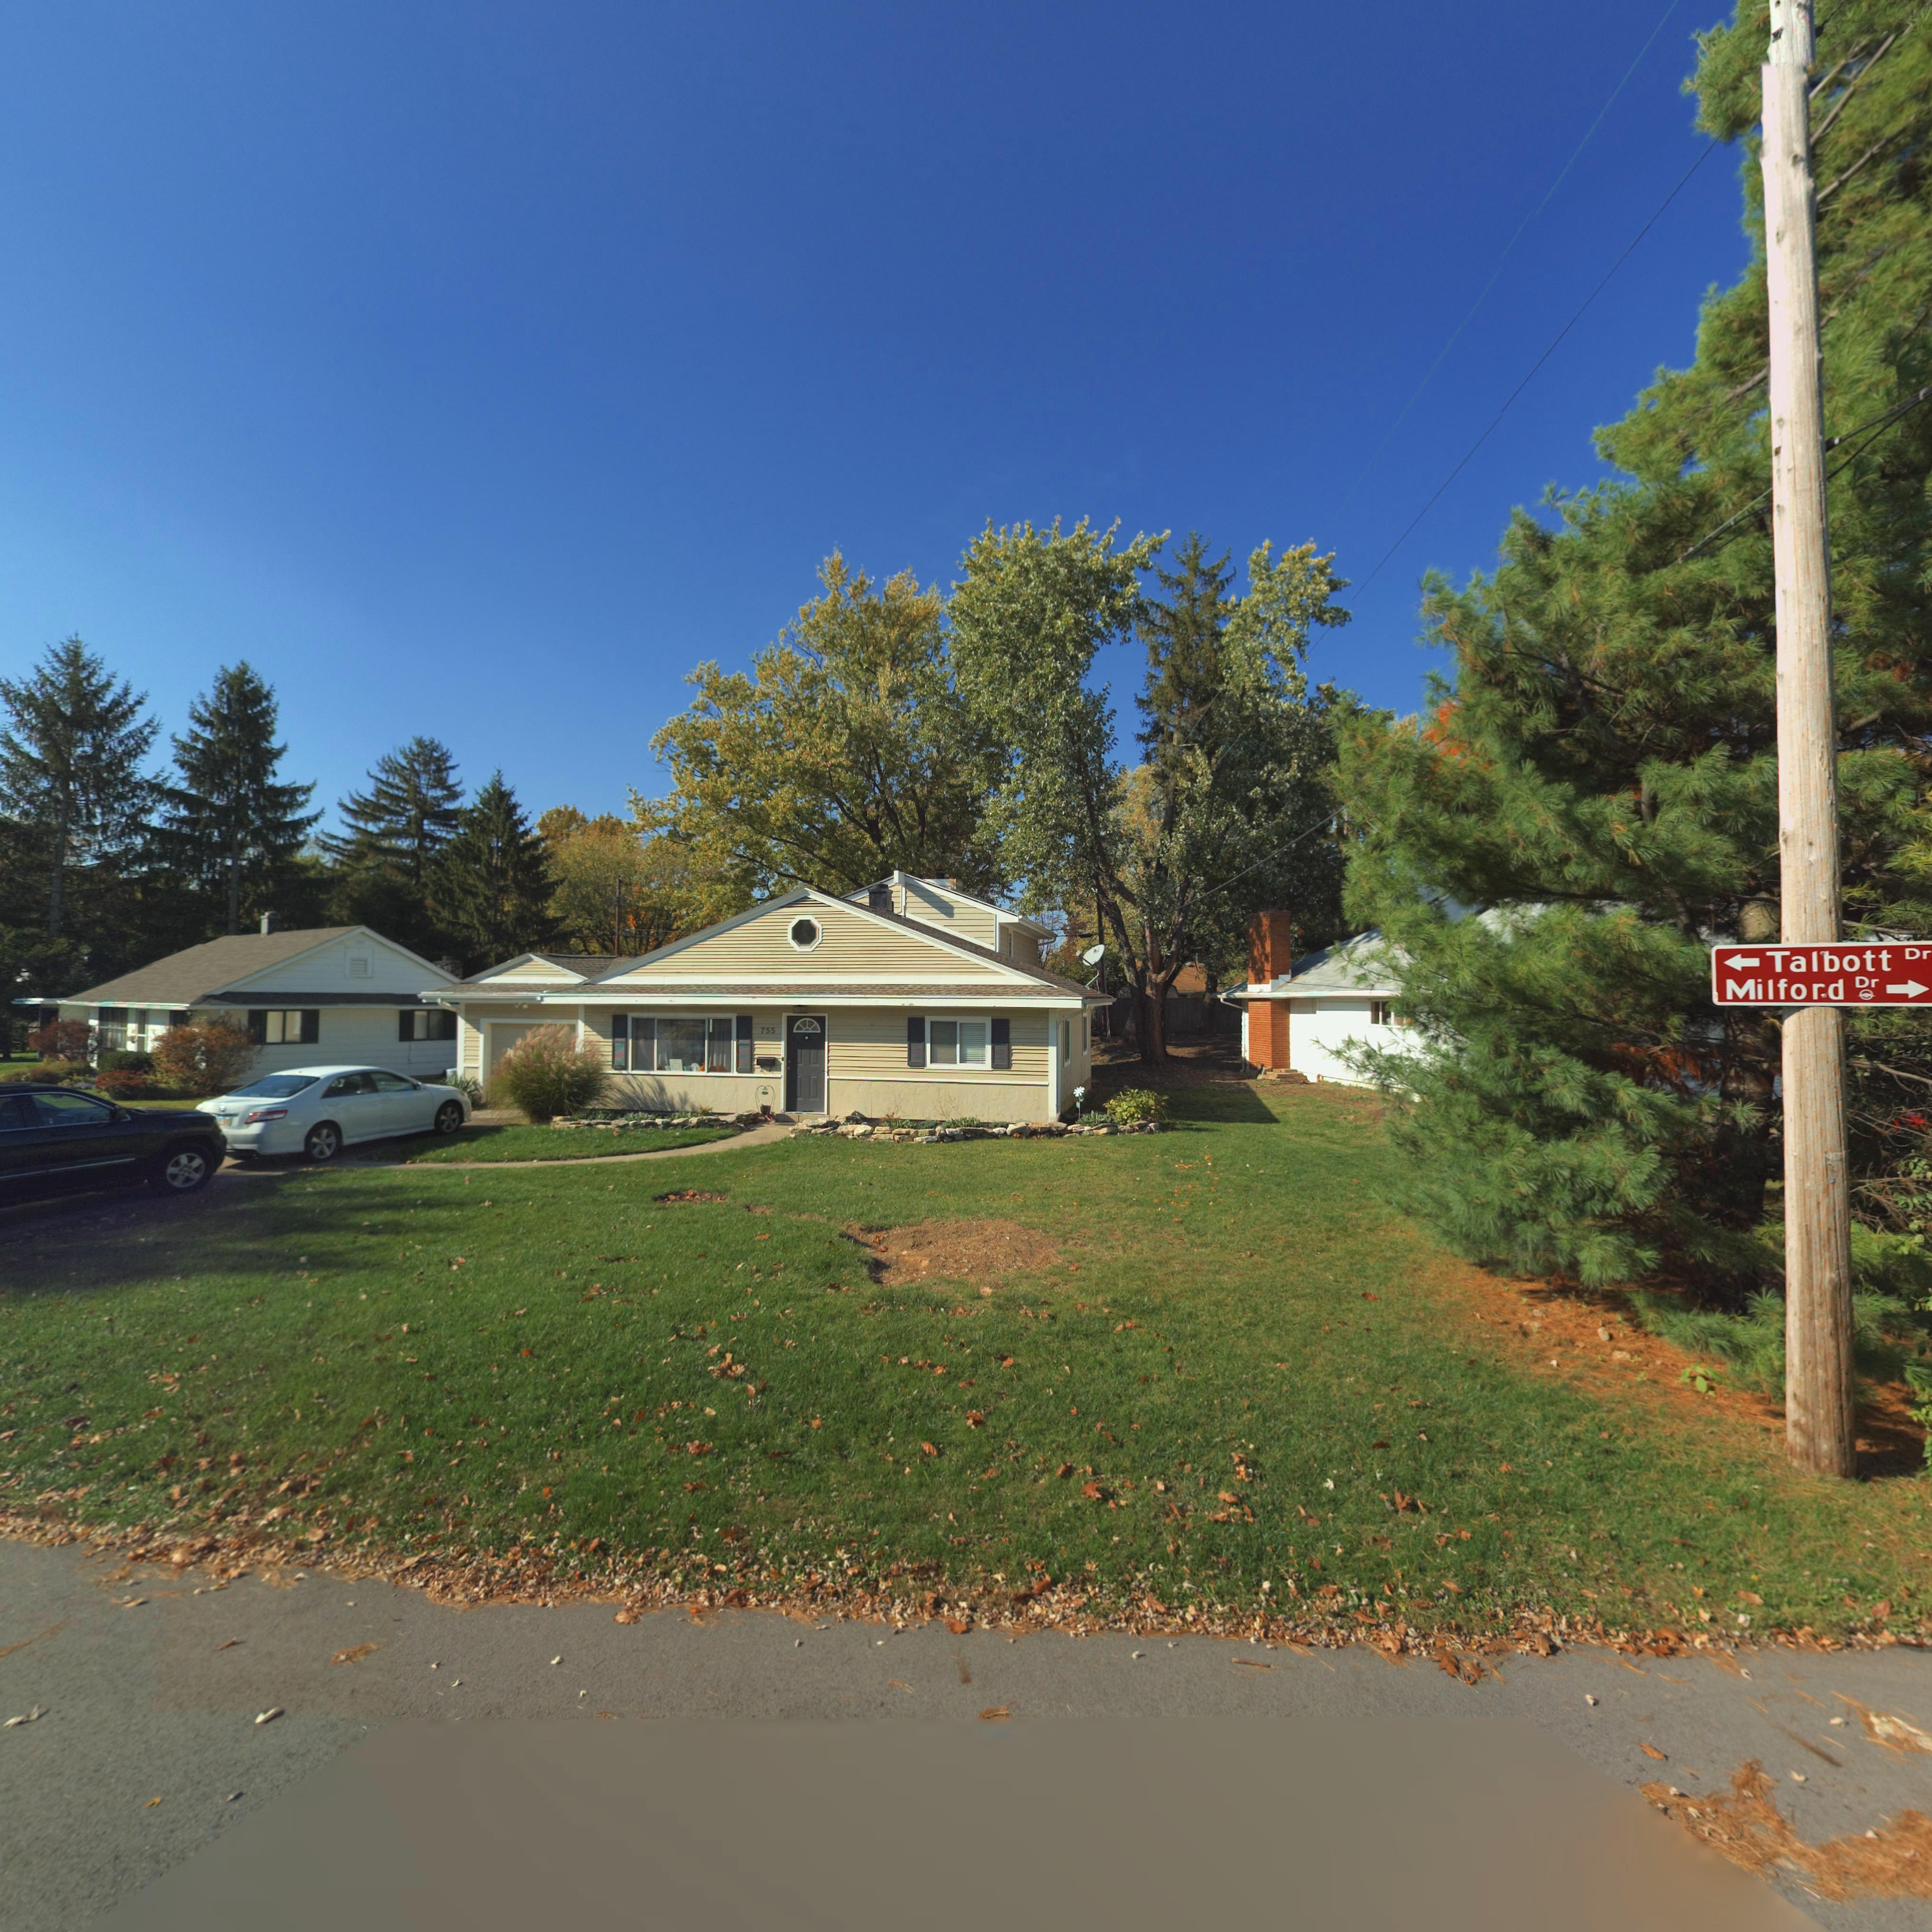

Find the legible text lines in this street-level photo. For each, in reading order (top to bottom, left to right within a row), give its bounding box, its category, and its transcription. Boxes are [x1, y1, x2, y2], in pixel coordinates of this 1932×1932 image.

[1721, 947, 1932, 974] StreetName: <- Talbott Dr
[1725, 975, 1931, 1000] StreetName: Milford Dr ->
[760, 1026, 775, 1034] StreetNumber: 755